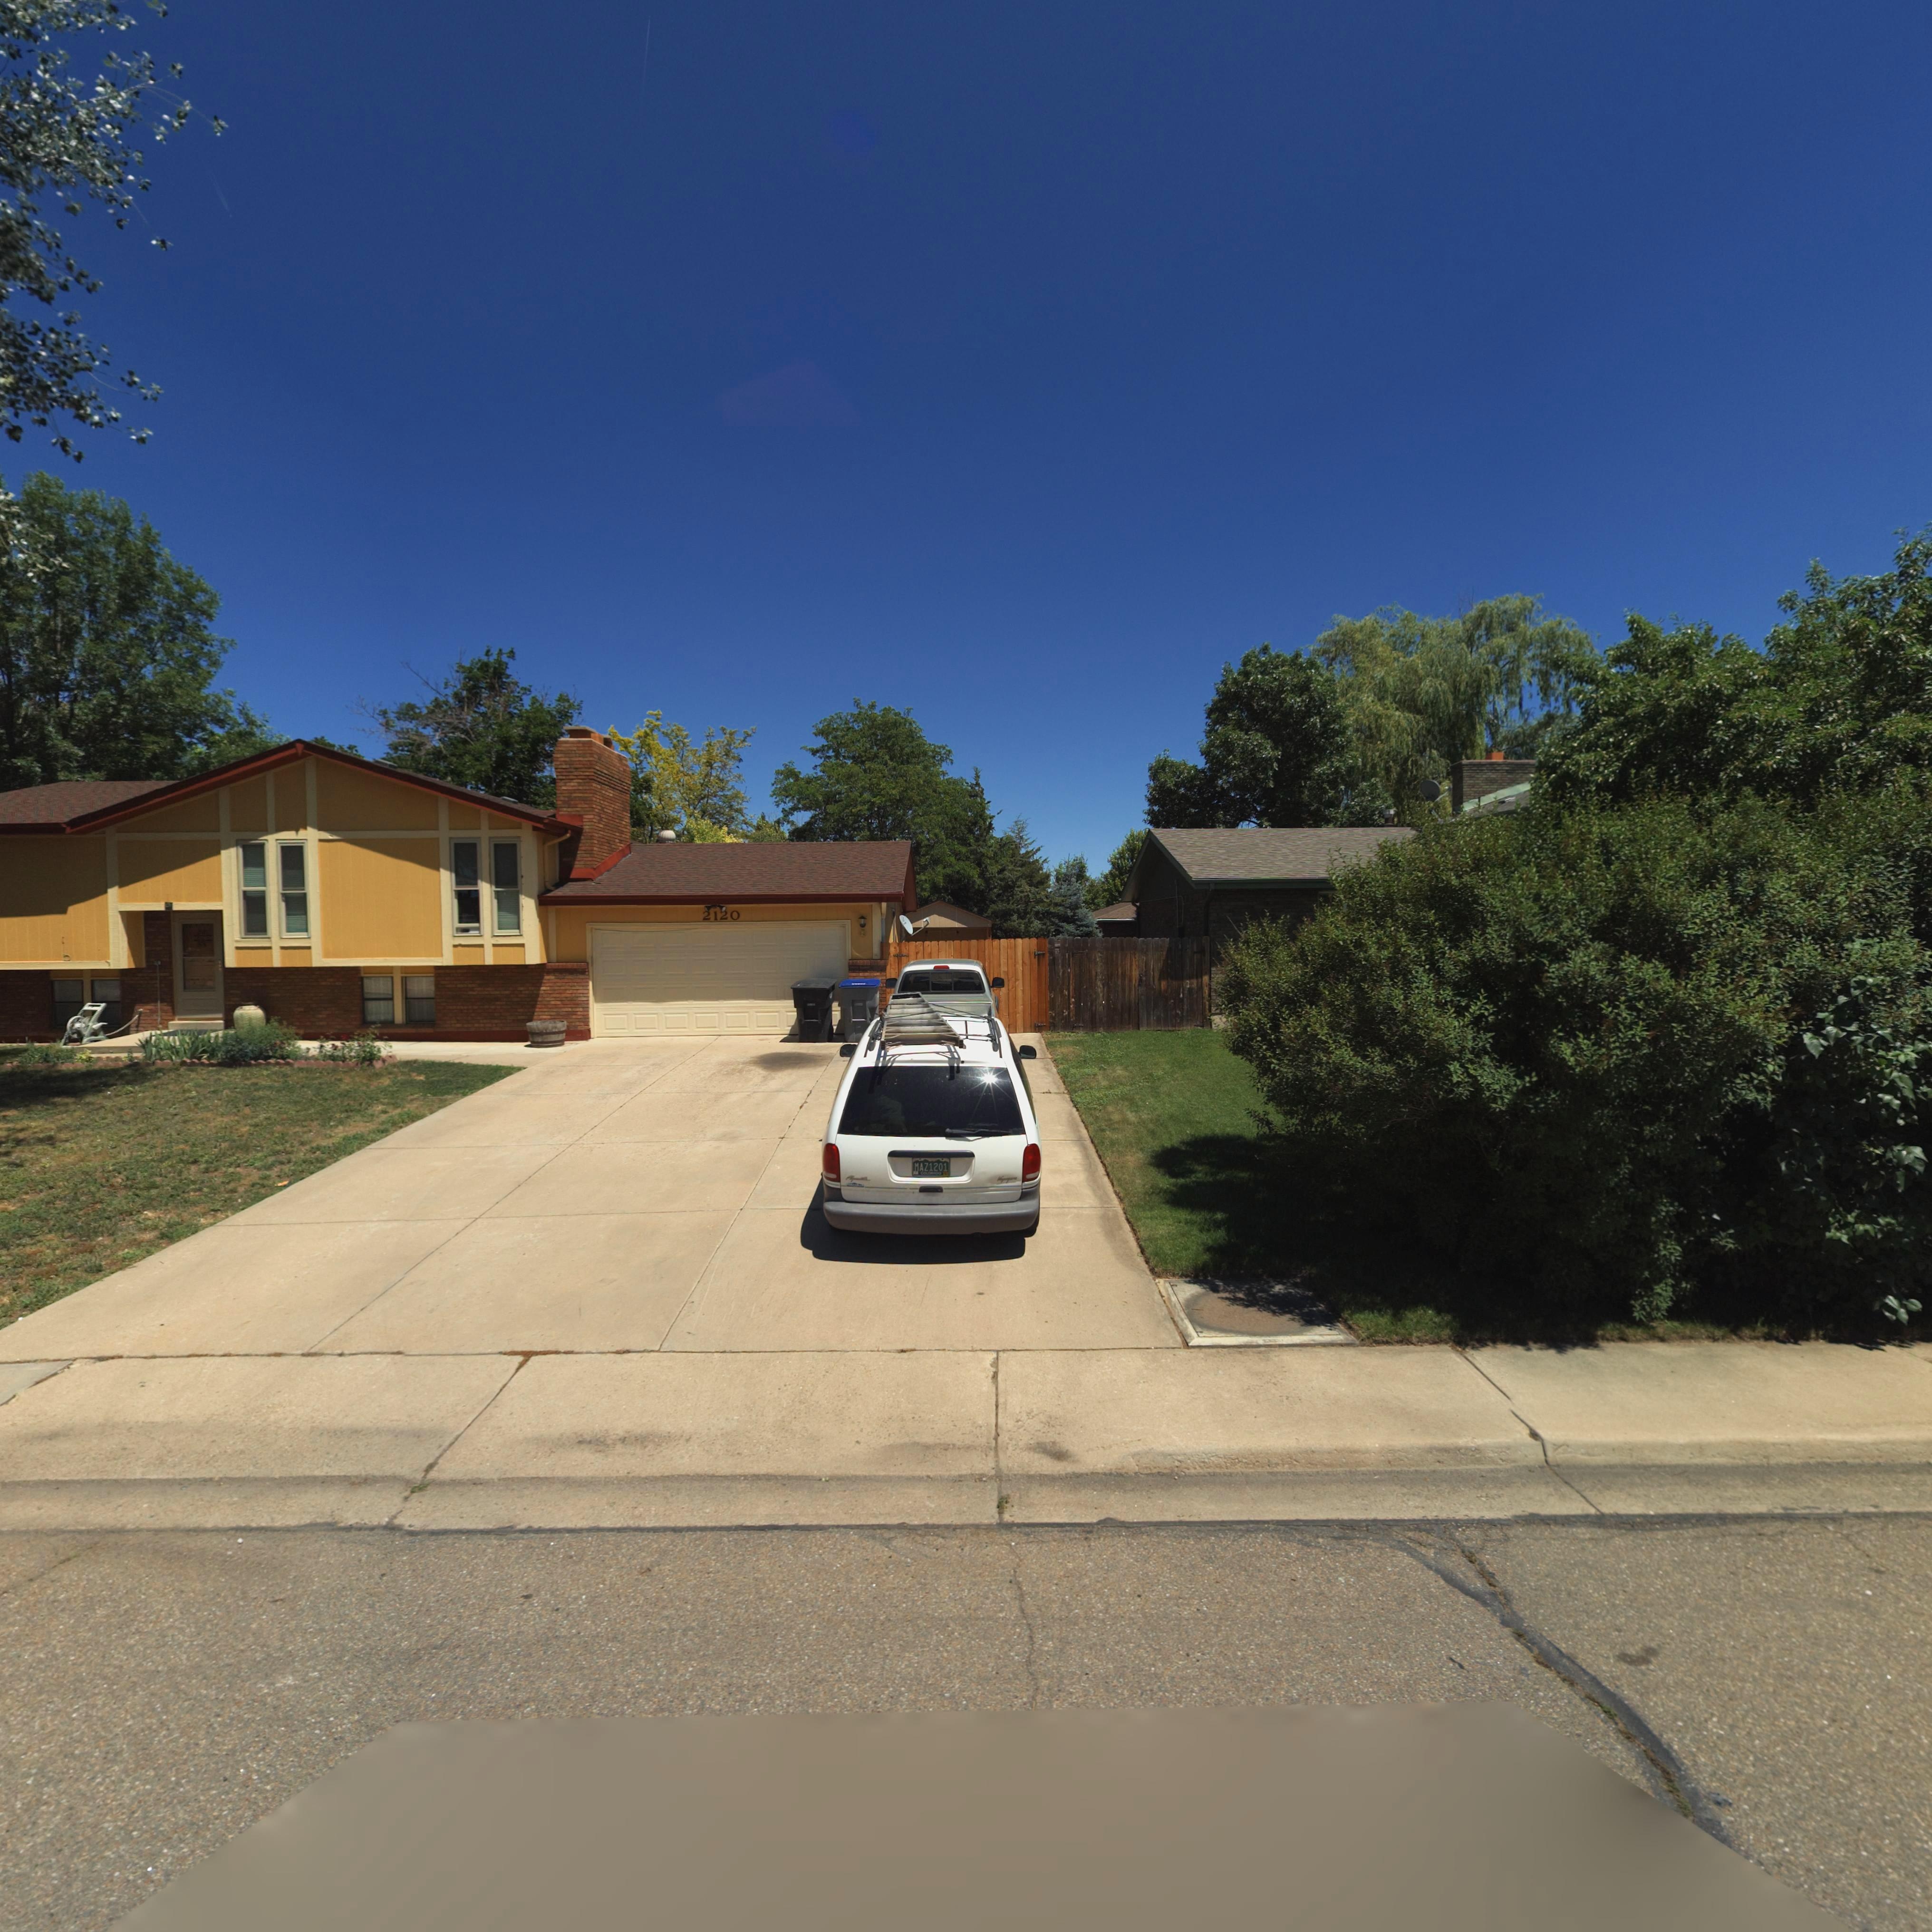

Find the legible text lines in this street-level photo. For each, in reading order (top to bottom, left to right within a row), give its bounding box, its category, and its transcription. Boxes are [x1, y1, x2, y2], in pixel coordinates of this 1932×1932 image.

[702, 909, 741, 920] StreetNumber: 2120